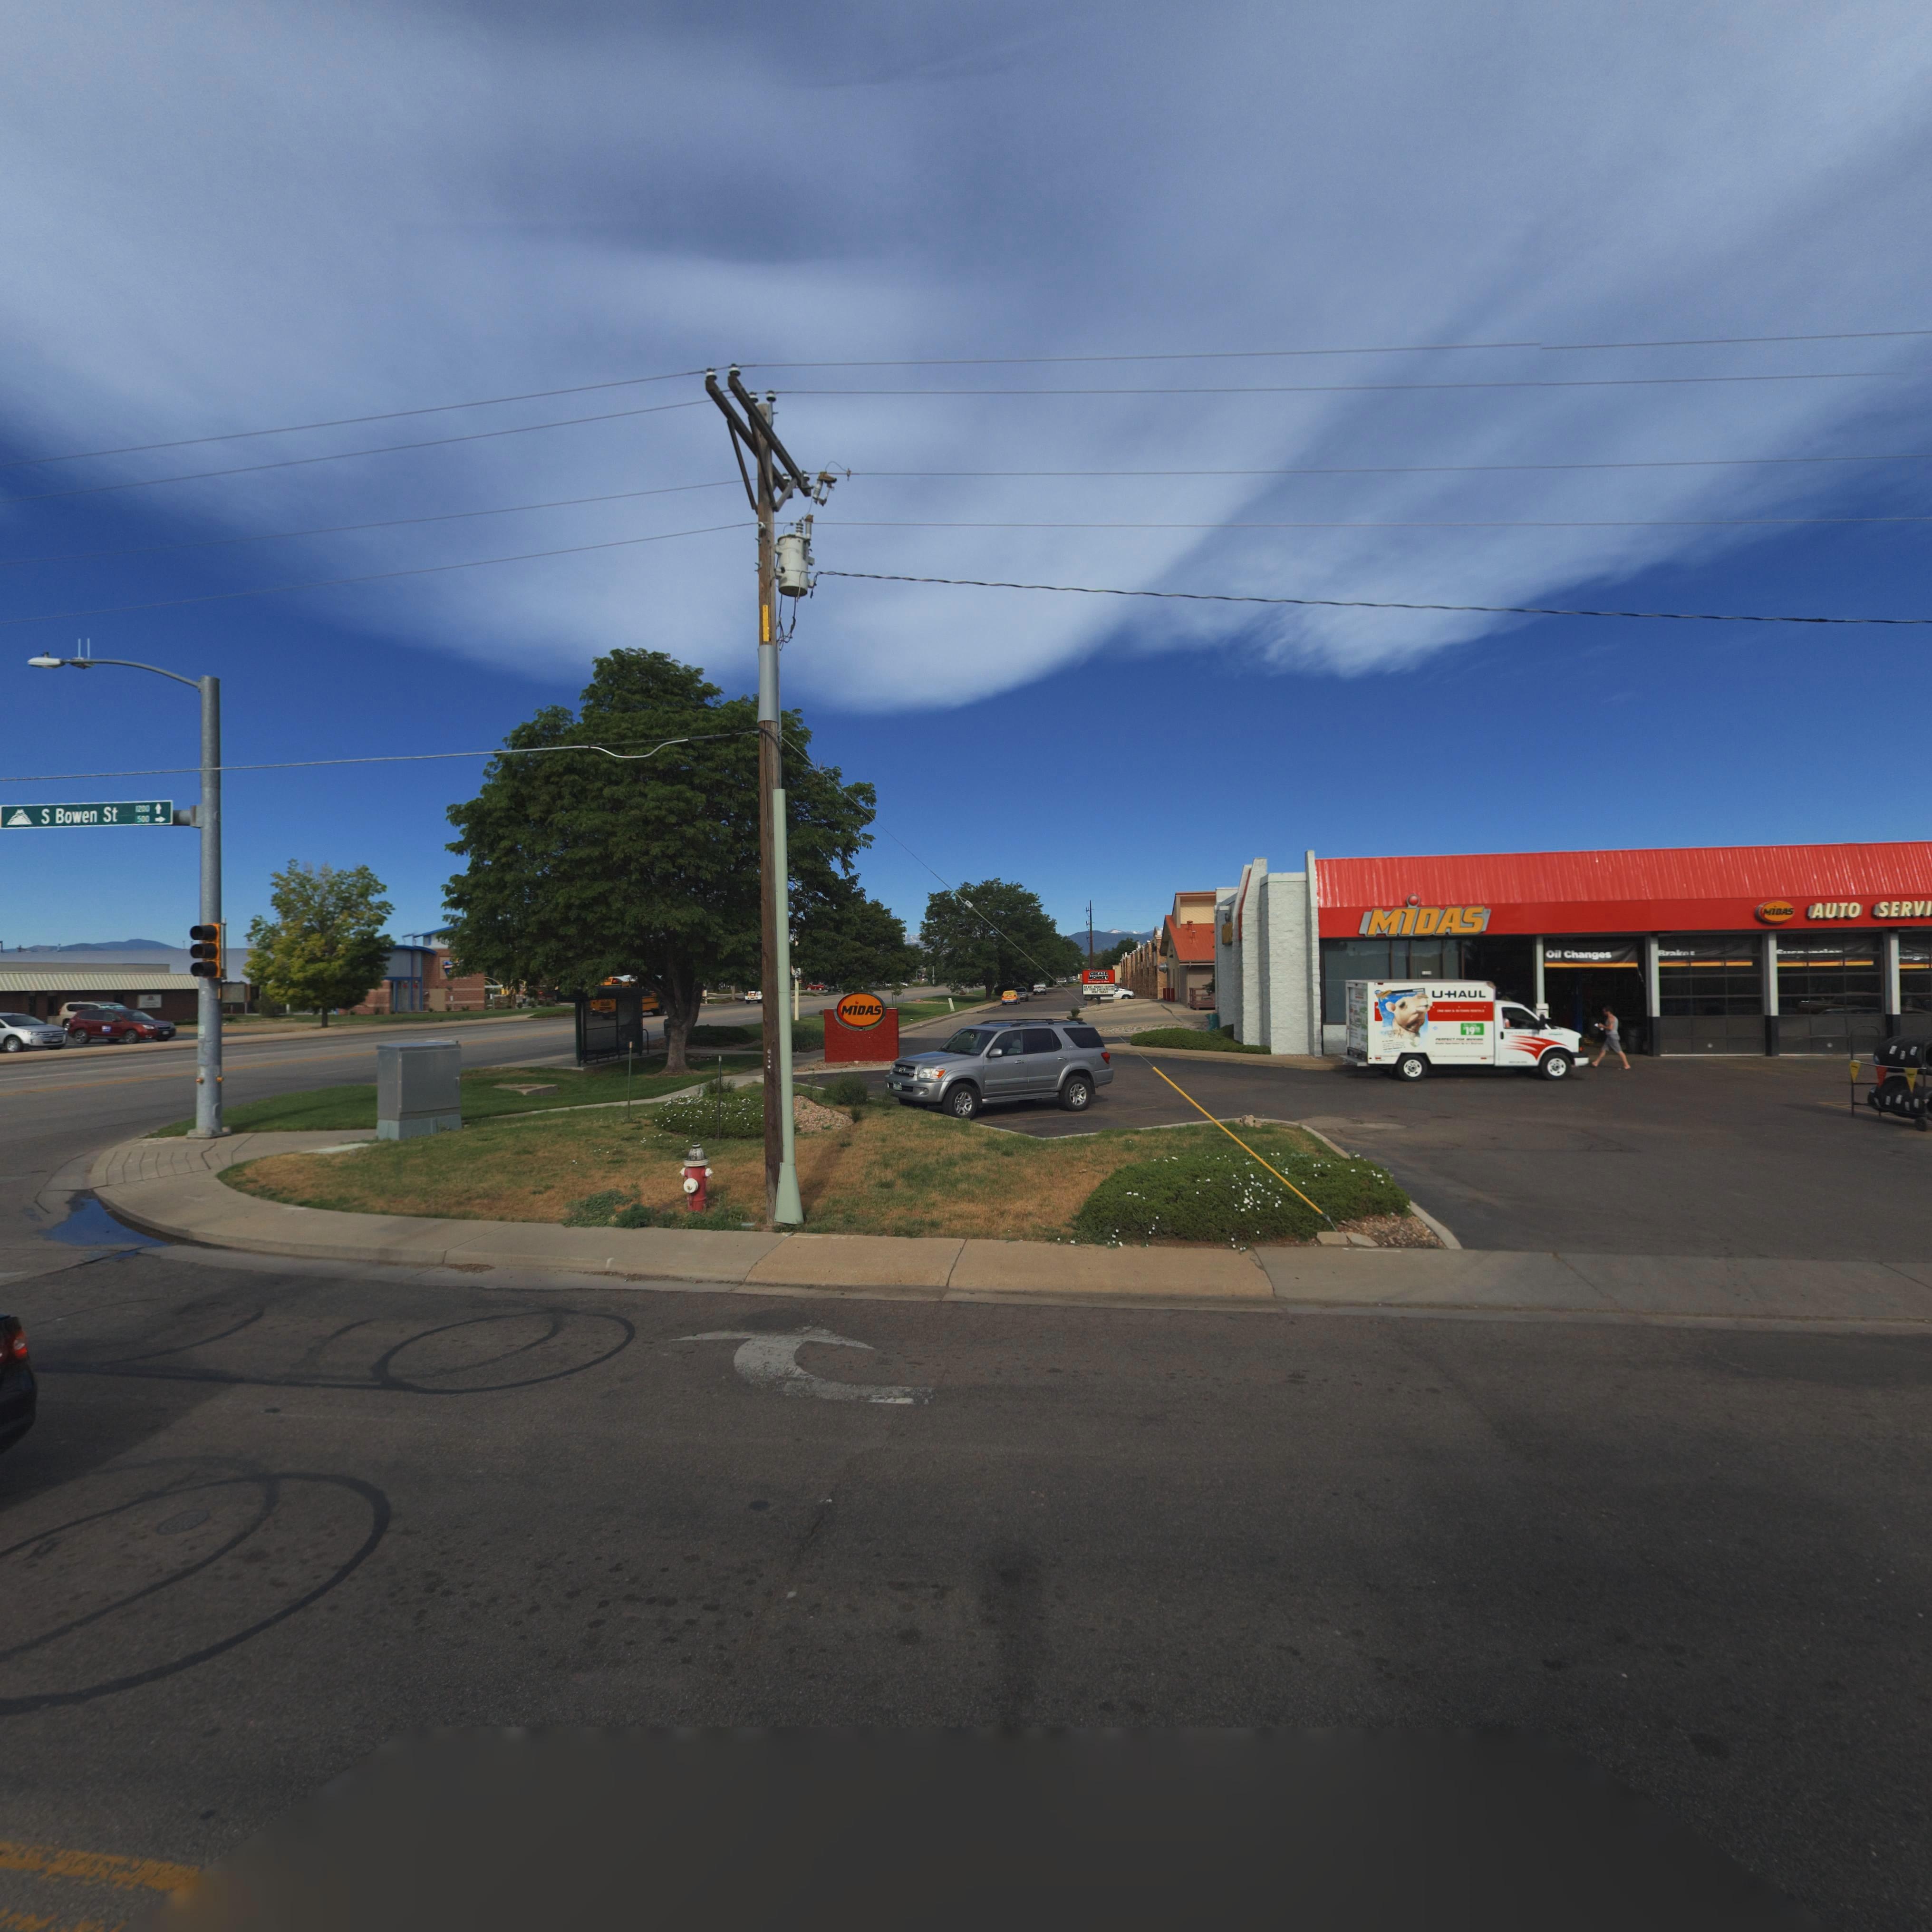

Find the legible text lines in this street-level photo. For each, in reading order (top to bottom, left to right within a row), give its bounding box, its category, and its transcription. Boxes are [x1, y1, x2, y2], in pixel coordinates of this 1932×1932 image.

[134, 804, 151, 813] StreetName: 12*0
[40, 806, 119, 825] StreetName: S Bowen St
[136, 814, 166, 823] StreetNumberRange: 500->
[1763, 905, 1795, 915] BusinessName: MiDAS
[1365, 894, 1485, 937] BusinessName: MiDAS
[1089, 971, 1107, 976] BusinessName: GREASE
[1088, 975, 1109, 979] BusinessName: MONKEY
[840, 1000, 882, 1015] BusinessName: MiDAS